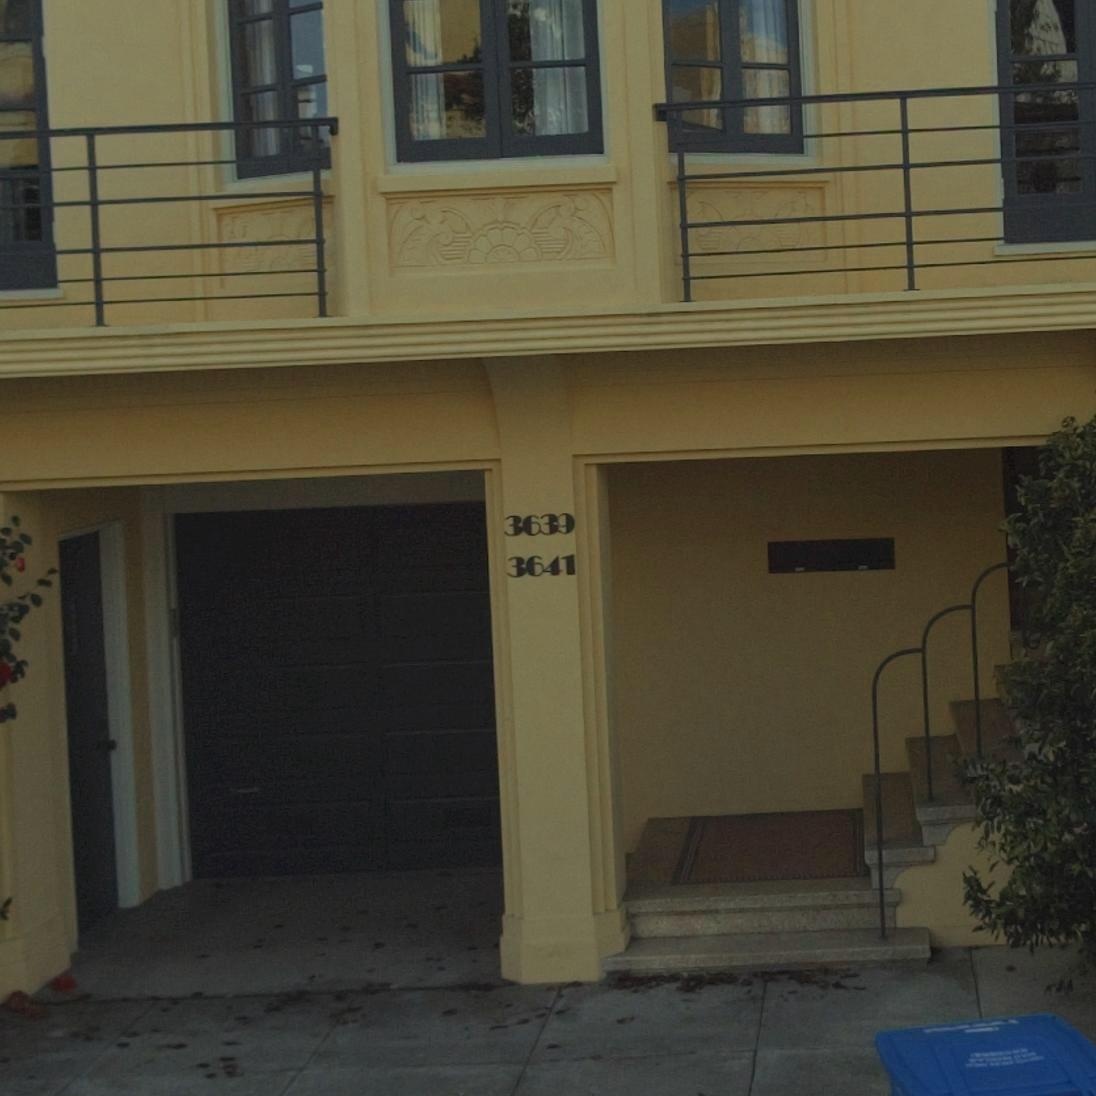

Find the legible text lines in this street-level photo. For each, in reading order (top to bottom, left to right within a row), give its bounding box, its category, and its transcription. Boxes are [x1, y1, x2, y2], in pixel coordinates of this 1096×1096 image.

[501, 510, 578, 540] StreetNumber: 3639
[504, 551, 579, 581] StreetNumber: 3641